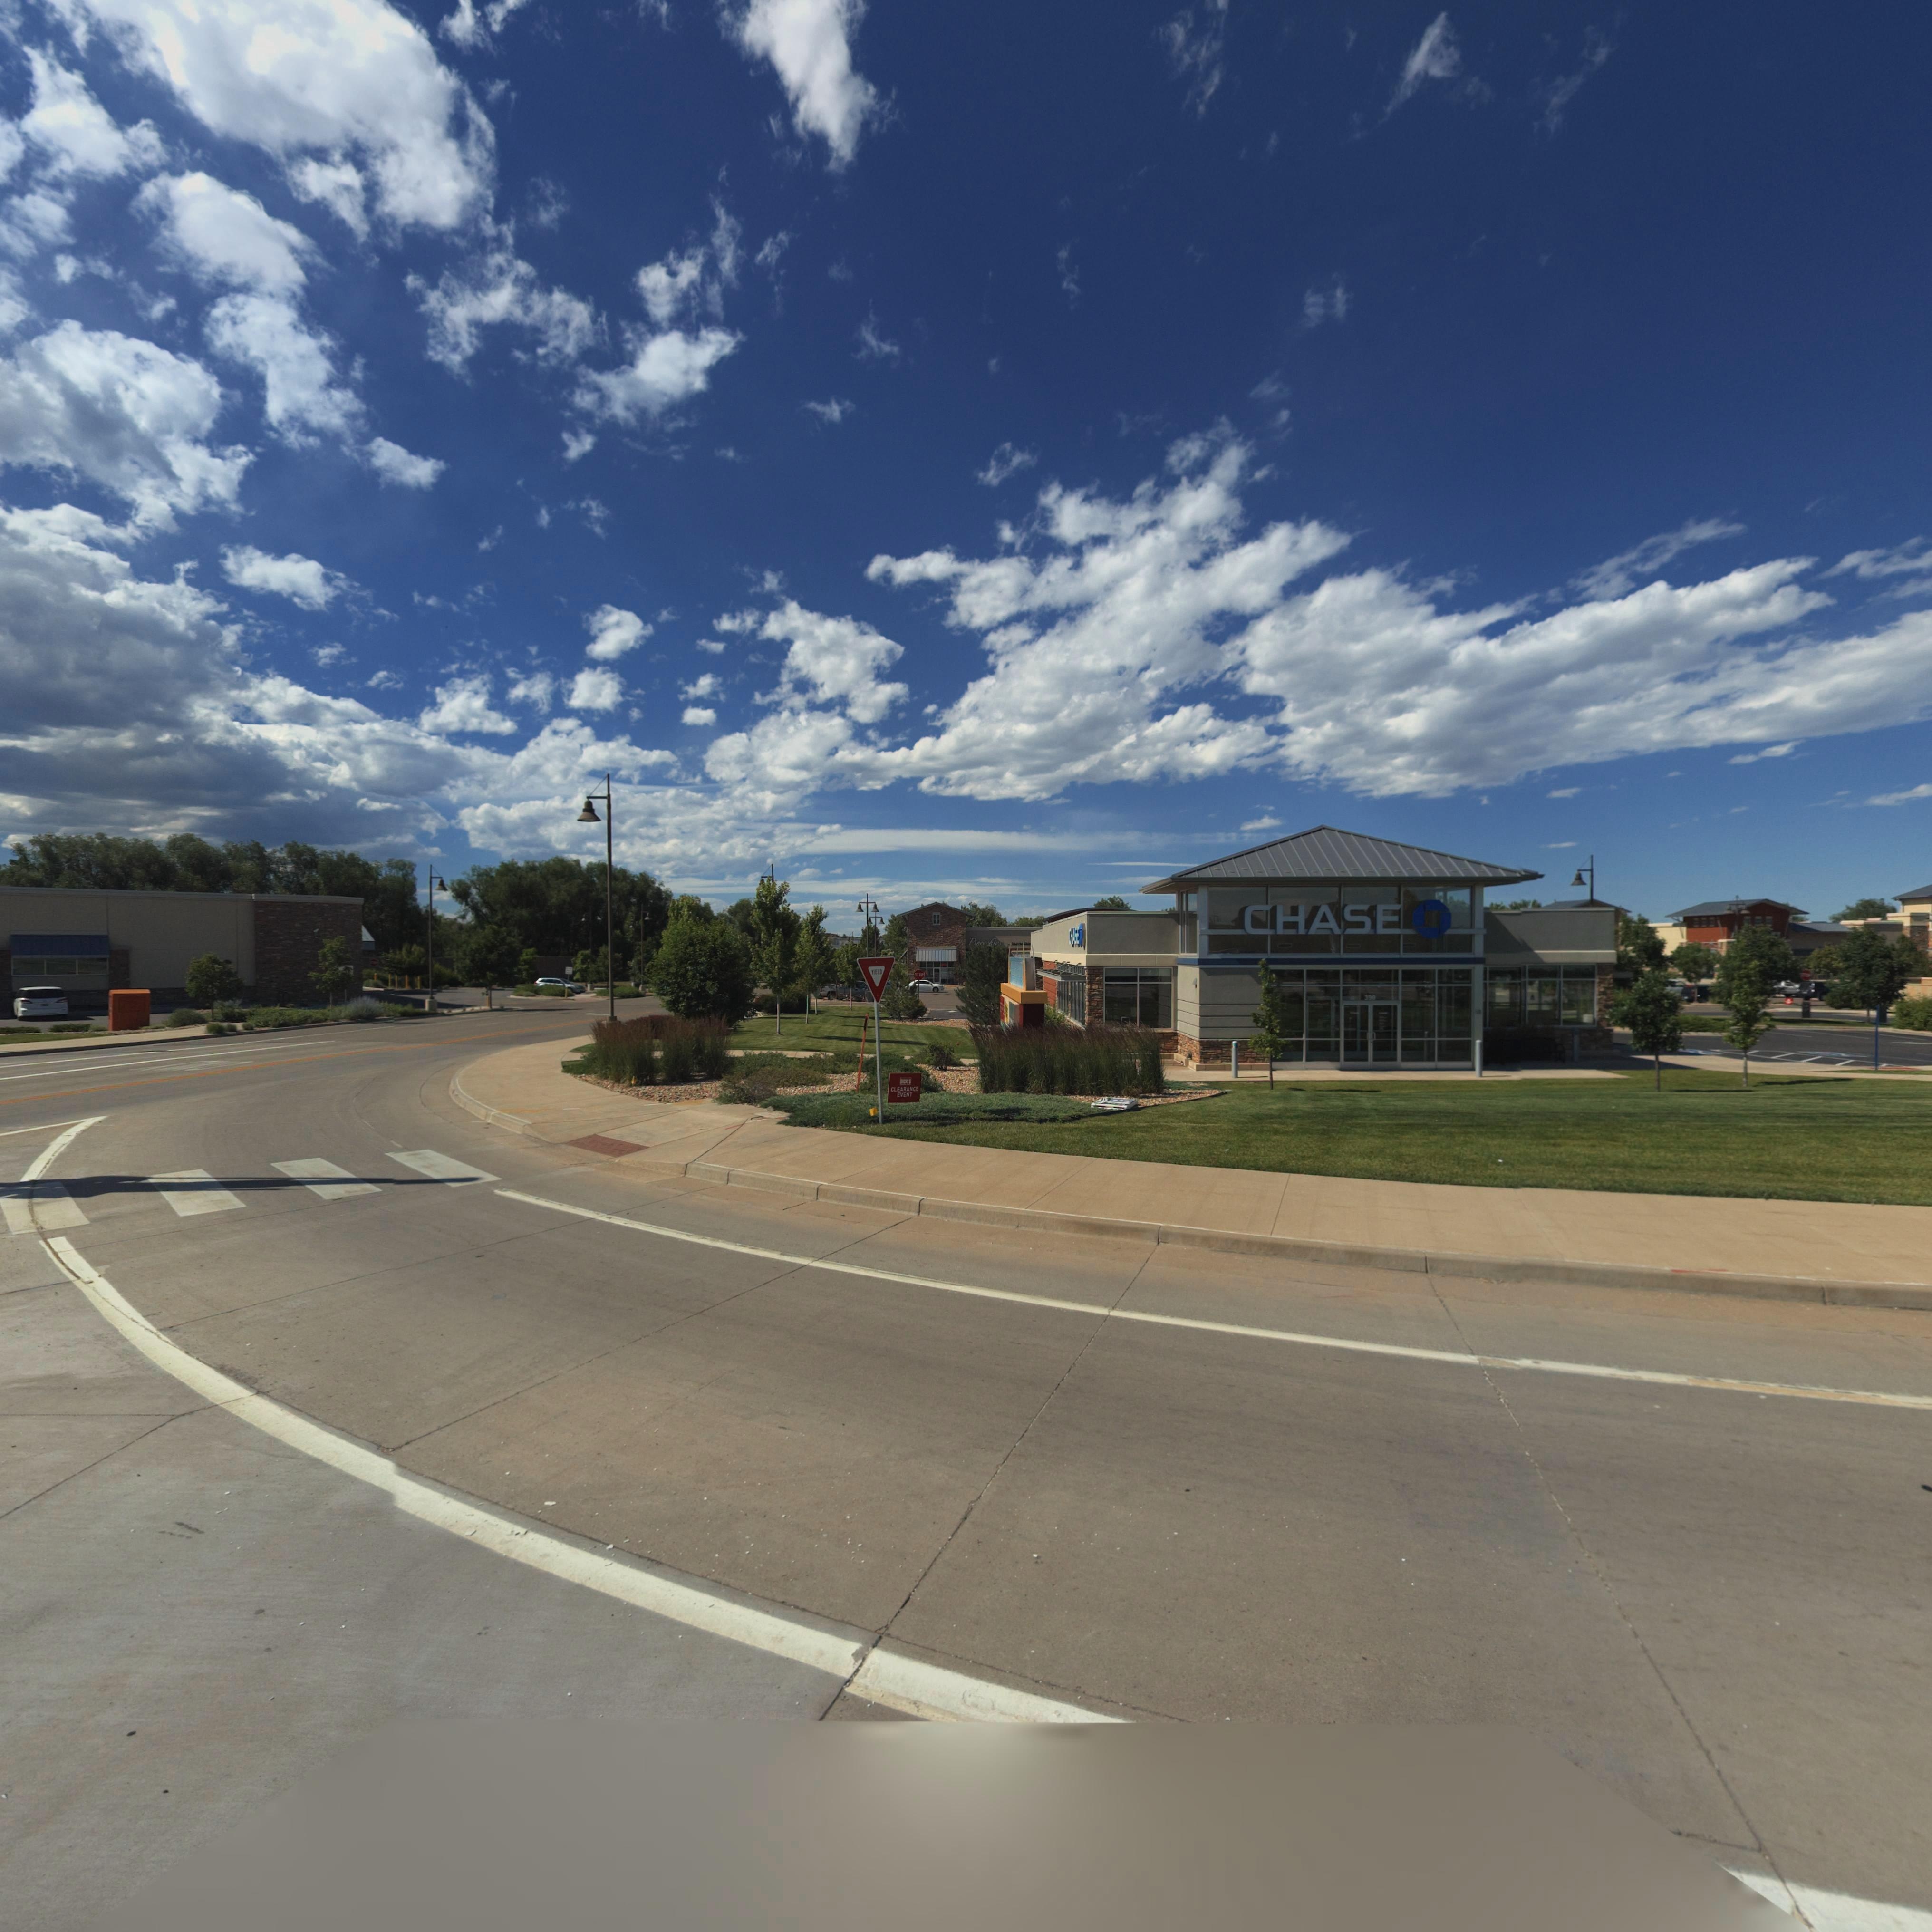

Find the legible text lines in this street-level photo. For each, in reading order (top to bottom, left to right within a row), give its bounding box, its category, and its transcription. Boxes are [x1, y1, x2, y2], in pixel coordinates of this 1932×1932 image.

[1241, 901, 1405, 935] BusinessName: CHASE
[1066, 926, 1080, 945] BusinessName: CHASE
[967, 937, 1001, 947] BusinessName: Pi*****
[1363, 994, 1376, 1000] StreetNumber: 390
[899, 1079, 912, 1084] BusinessName: DICKS